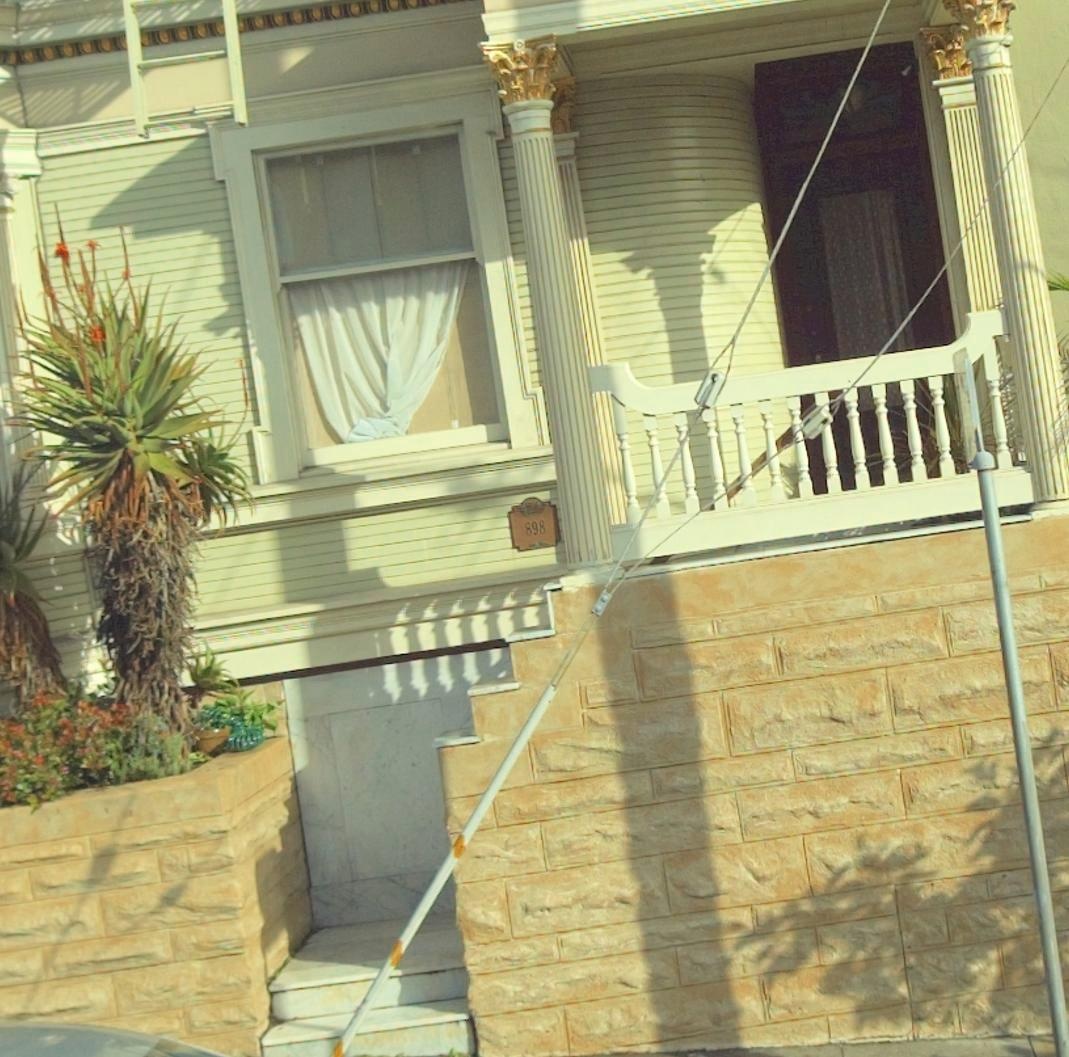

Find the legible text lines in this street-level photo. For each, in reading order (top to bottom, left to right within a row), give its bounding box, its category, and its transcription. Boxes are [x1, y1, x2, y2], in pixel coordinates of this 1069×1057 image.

[521, 516, 549, 539] StreetNumber: *89